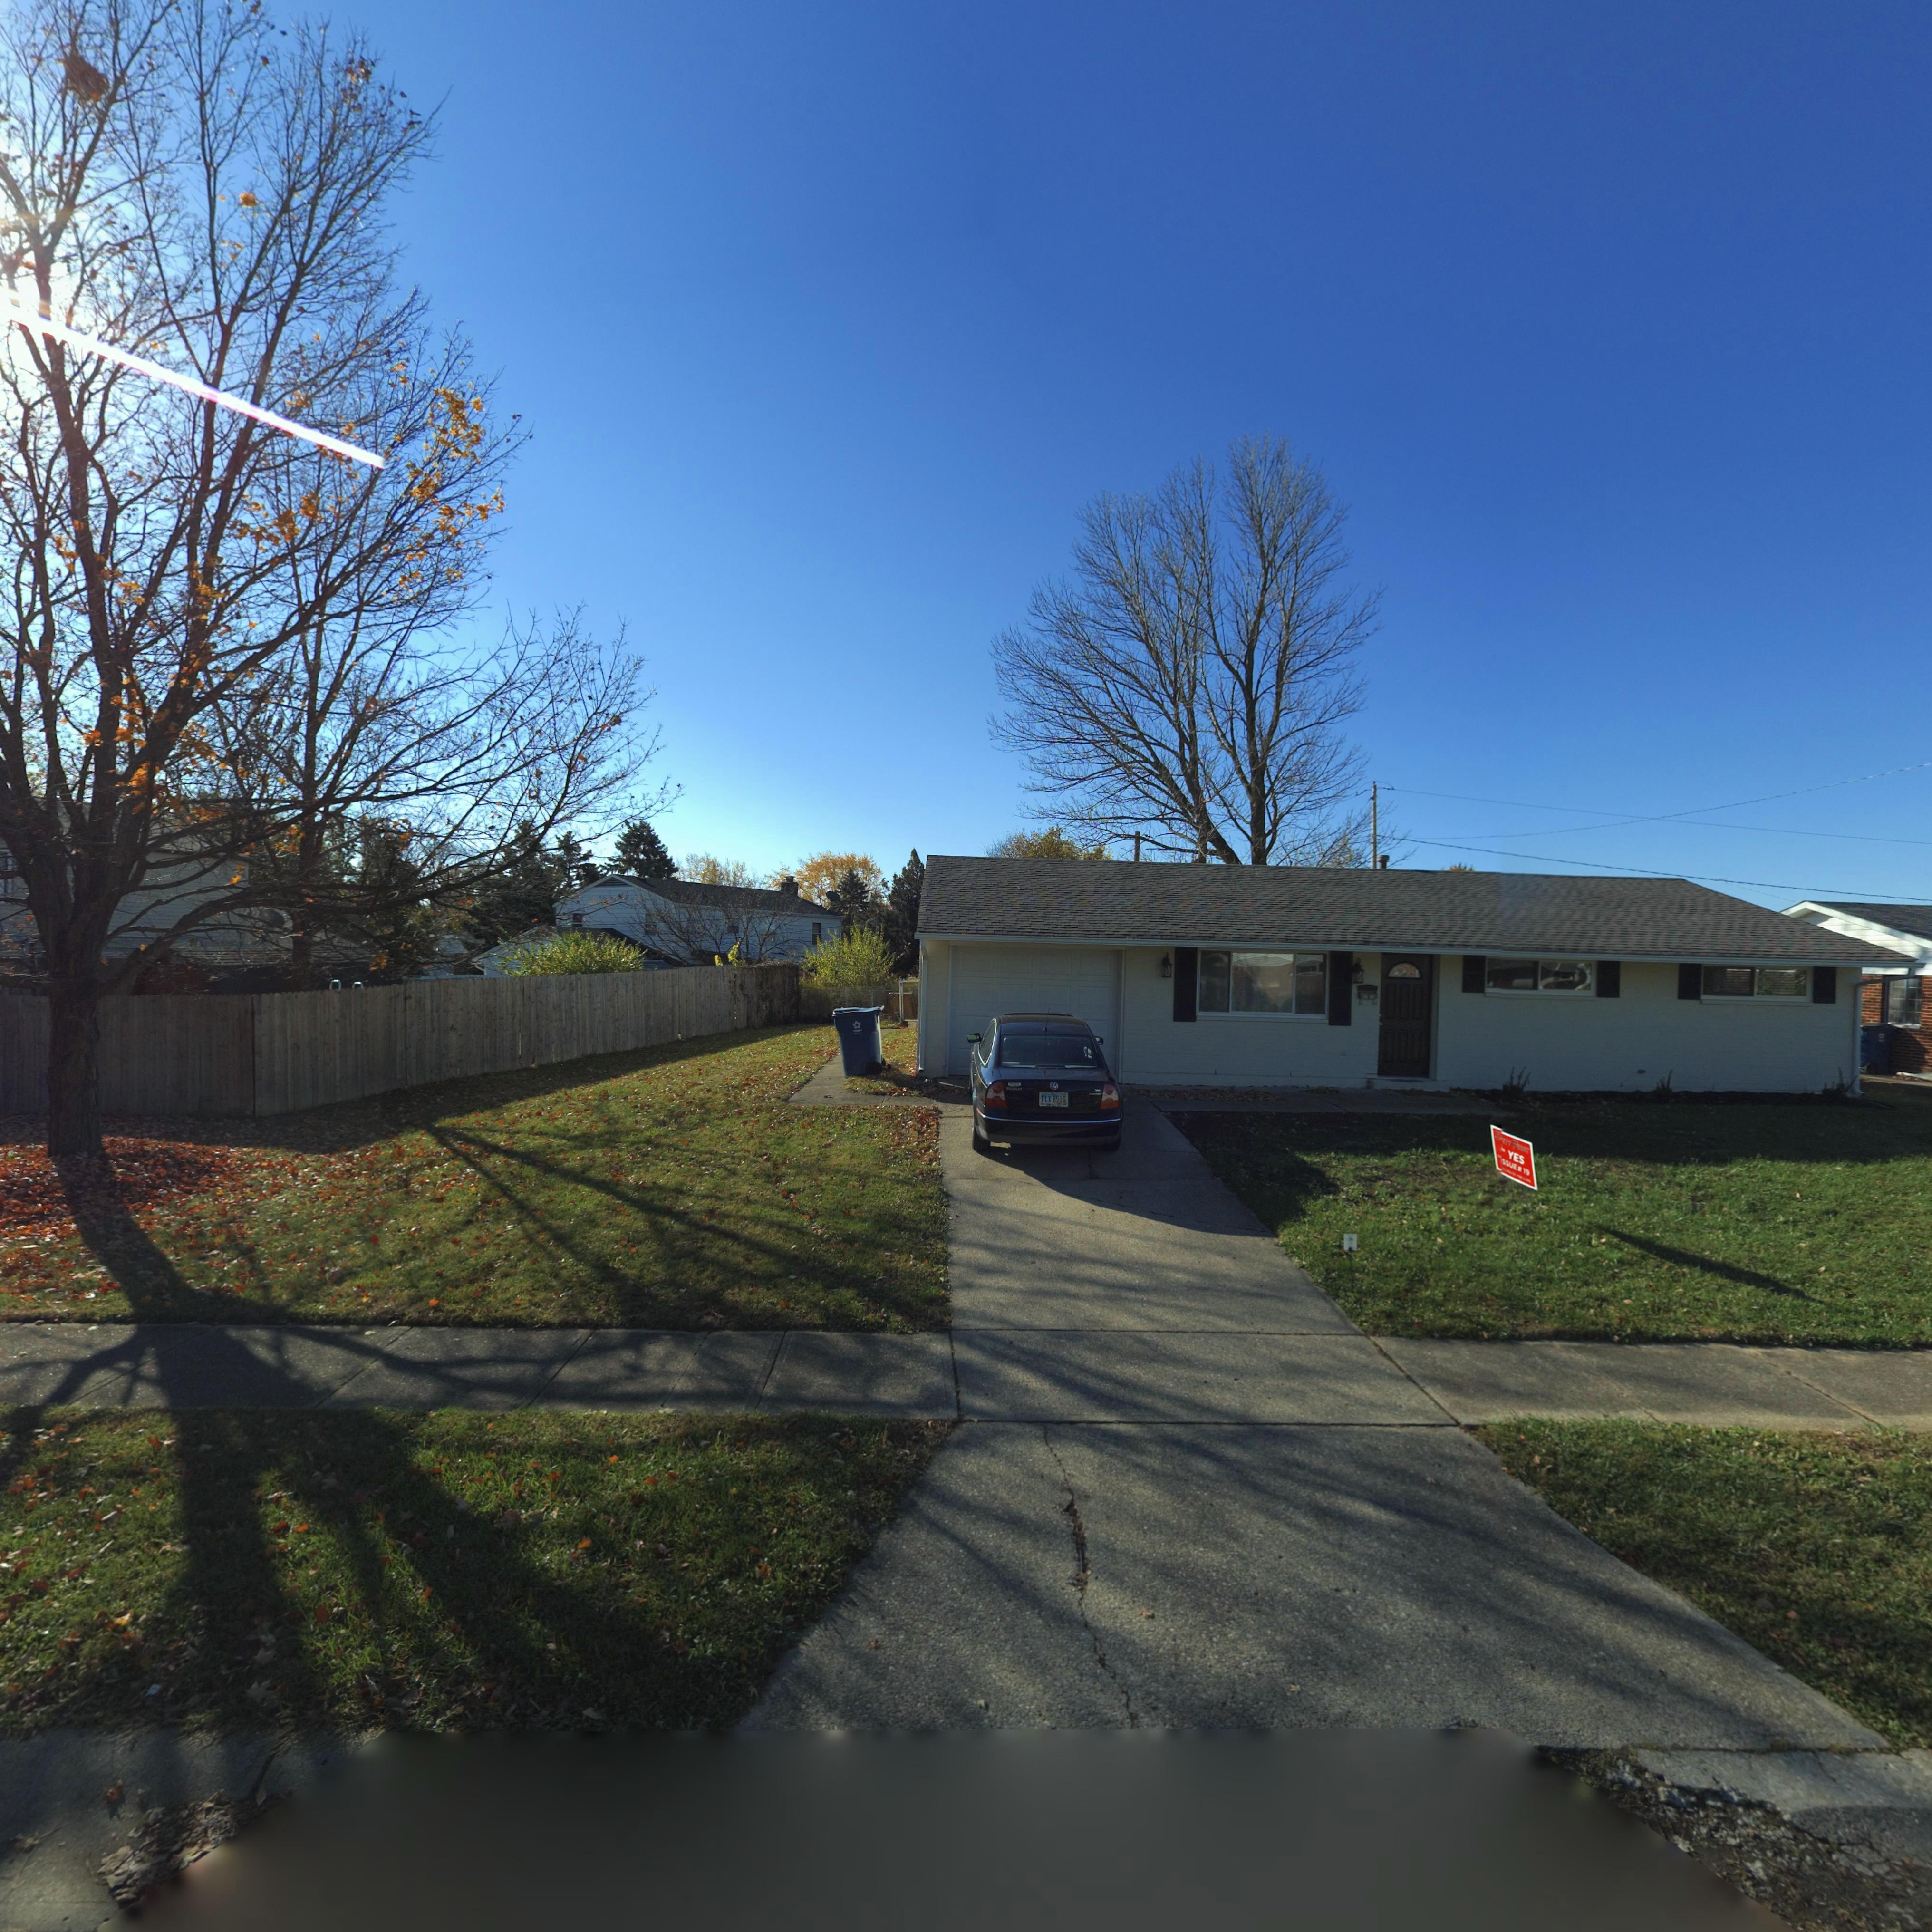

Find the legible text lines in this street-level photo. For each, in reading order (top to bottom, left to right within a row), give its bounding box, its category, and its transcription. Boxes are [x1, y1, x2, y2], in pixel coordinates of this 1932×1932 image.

[1369, 994, 1376, 999] StreetNumber: 36